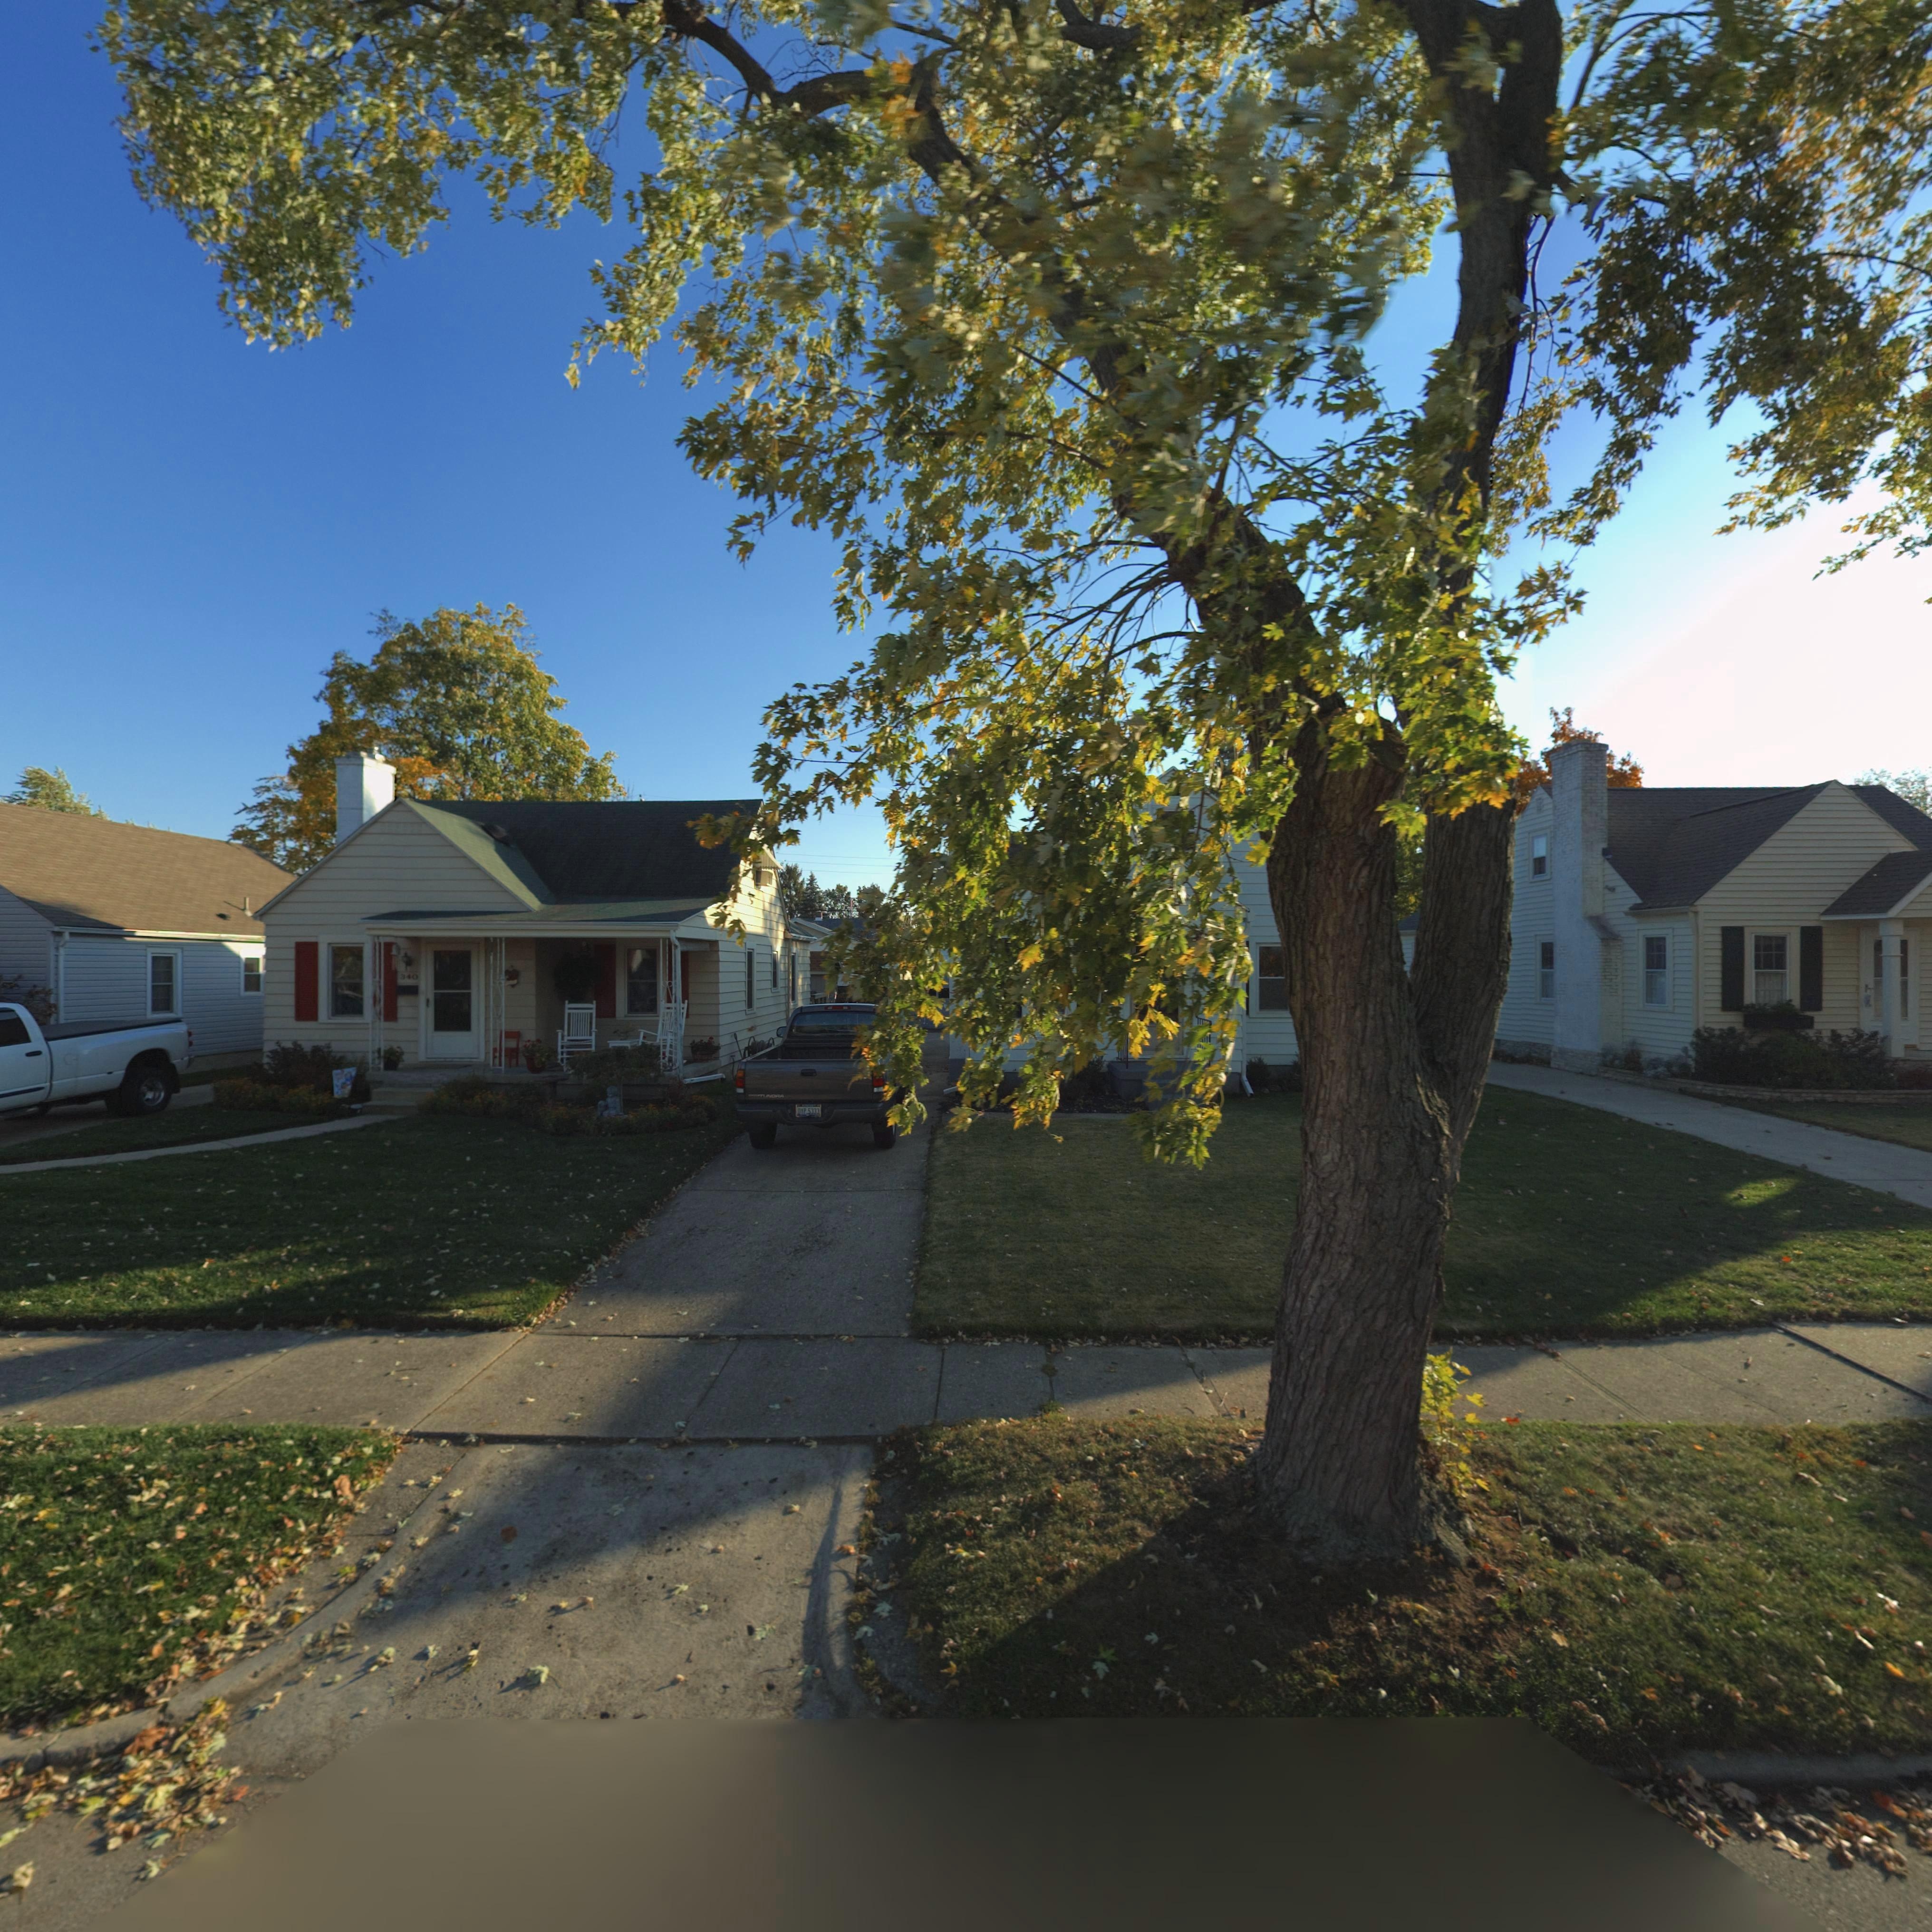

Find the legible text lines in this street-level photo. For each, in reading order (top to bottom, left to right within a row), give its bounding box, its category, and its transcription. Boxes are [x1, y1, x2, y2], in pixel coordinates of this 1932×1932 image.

[399, 973, 419, 981] StreetNumber: 340